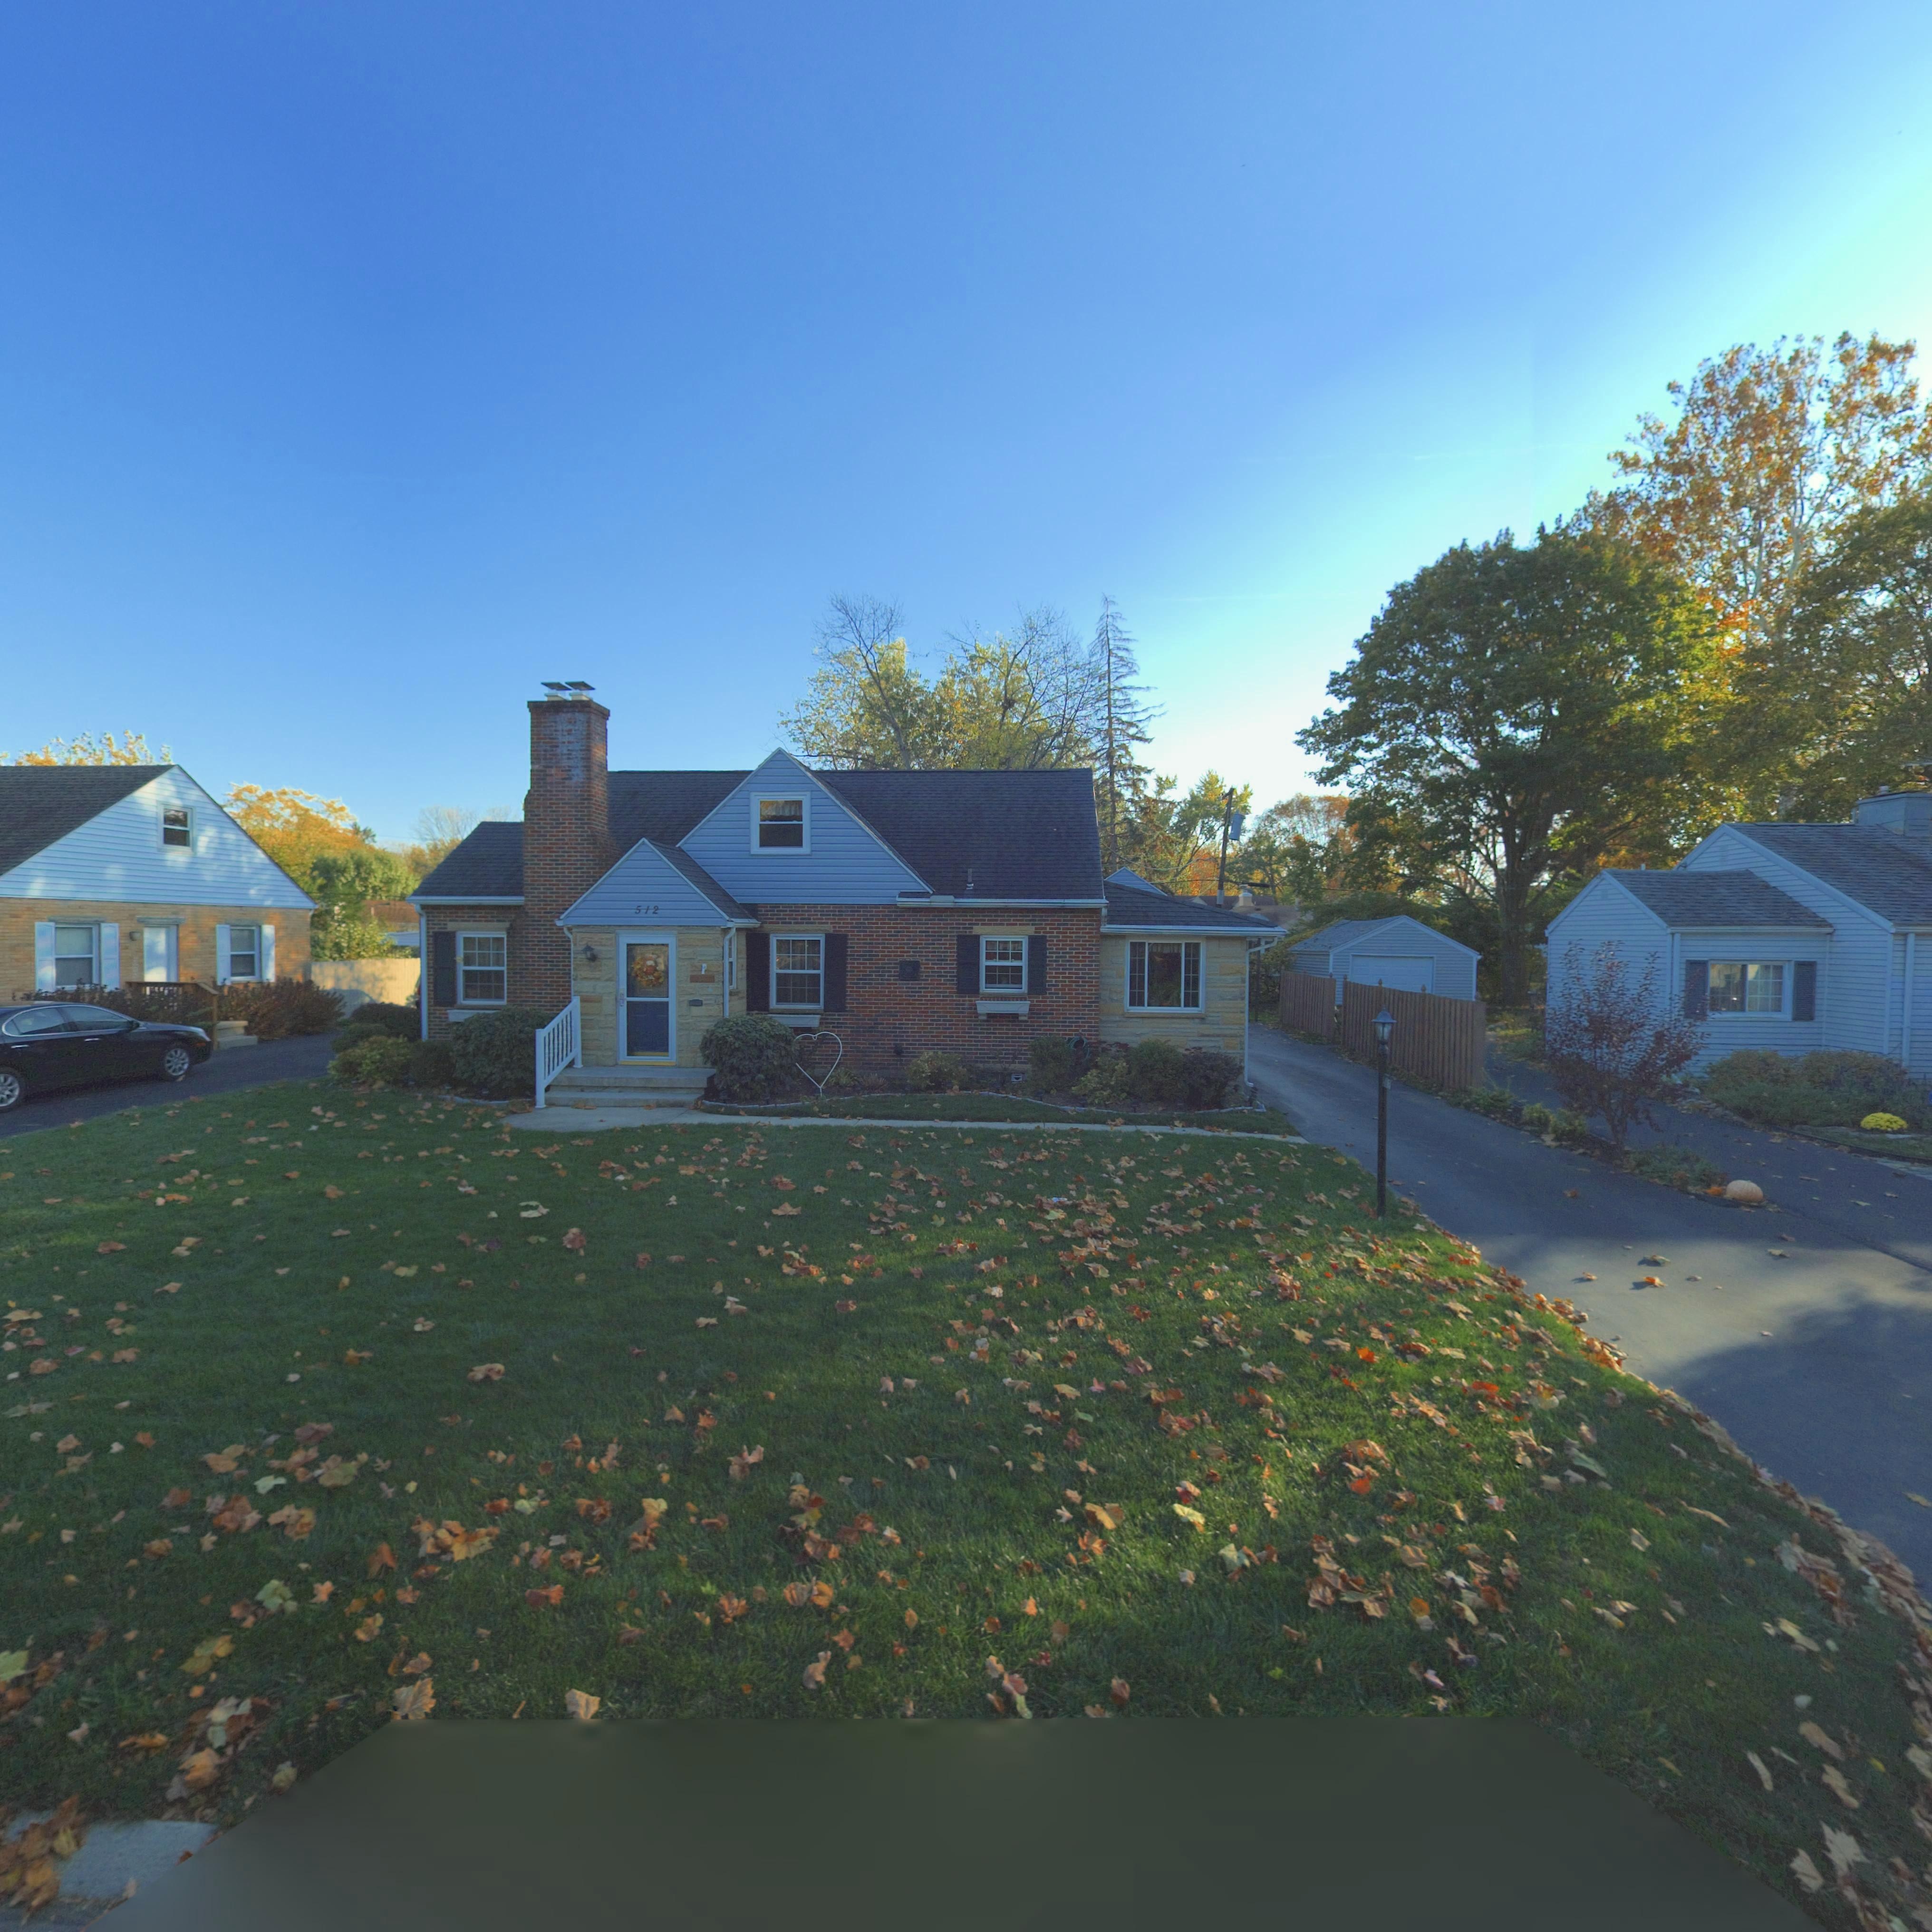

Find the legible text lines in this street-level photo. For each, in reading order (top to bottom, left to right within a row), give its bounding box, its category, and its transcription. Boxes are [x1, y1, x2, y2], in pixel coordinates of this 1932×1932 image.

[634, 904, 659, 915] StreetNumber: 512